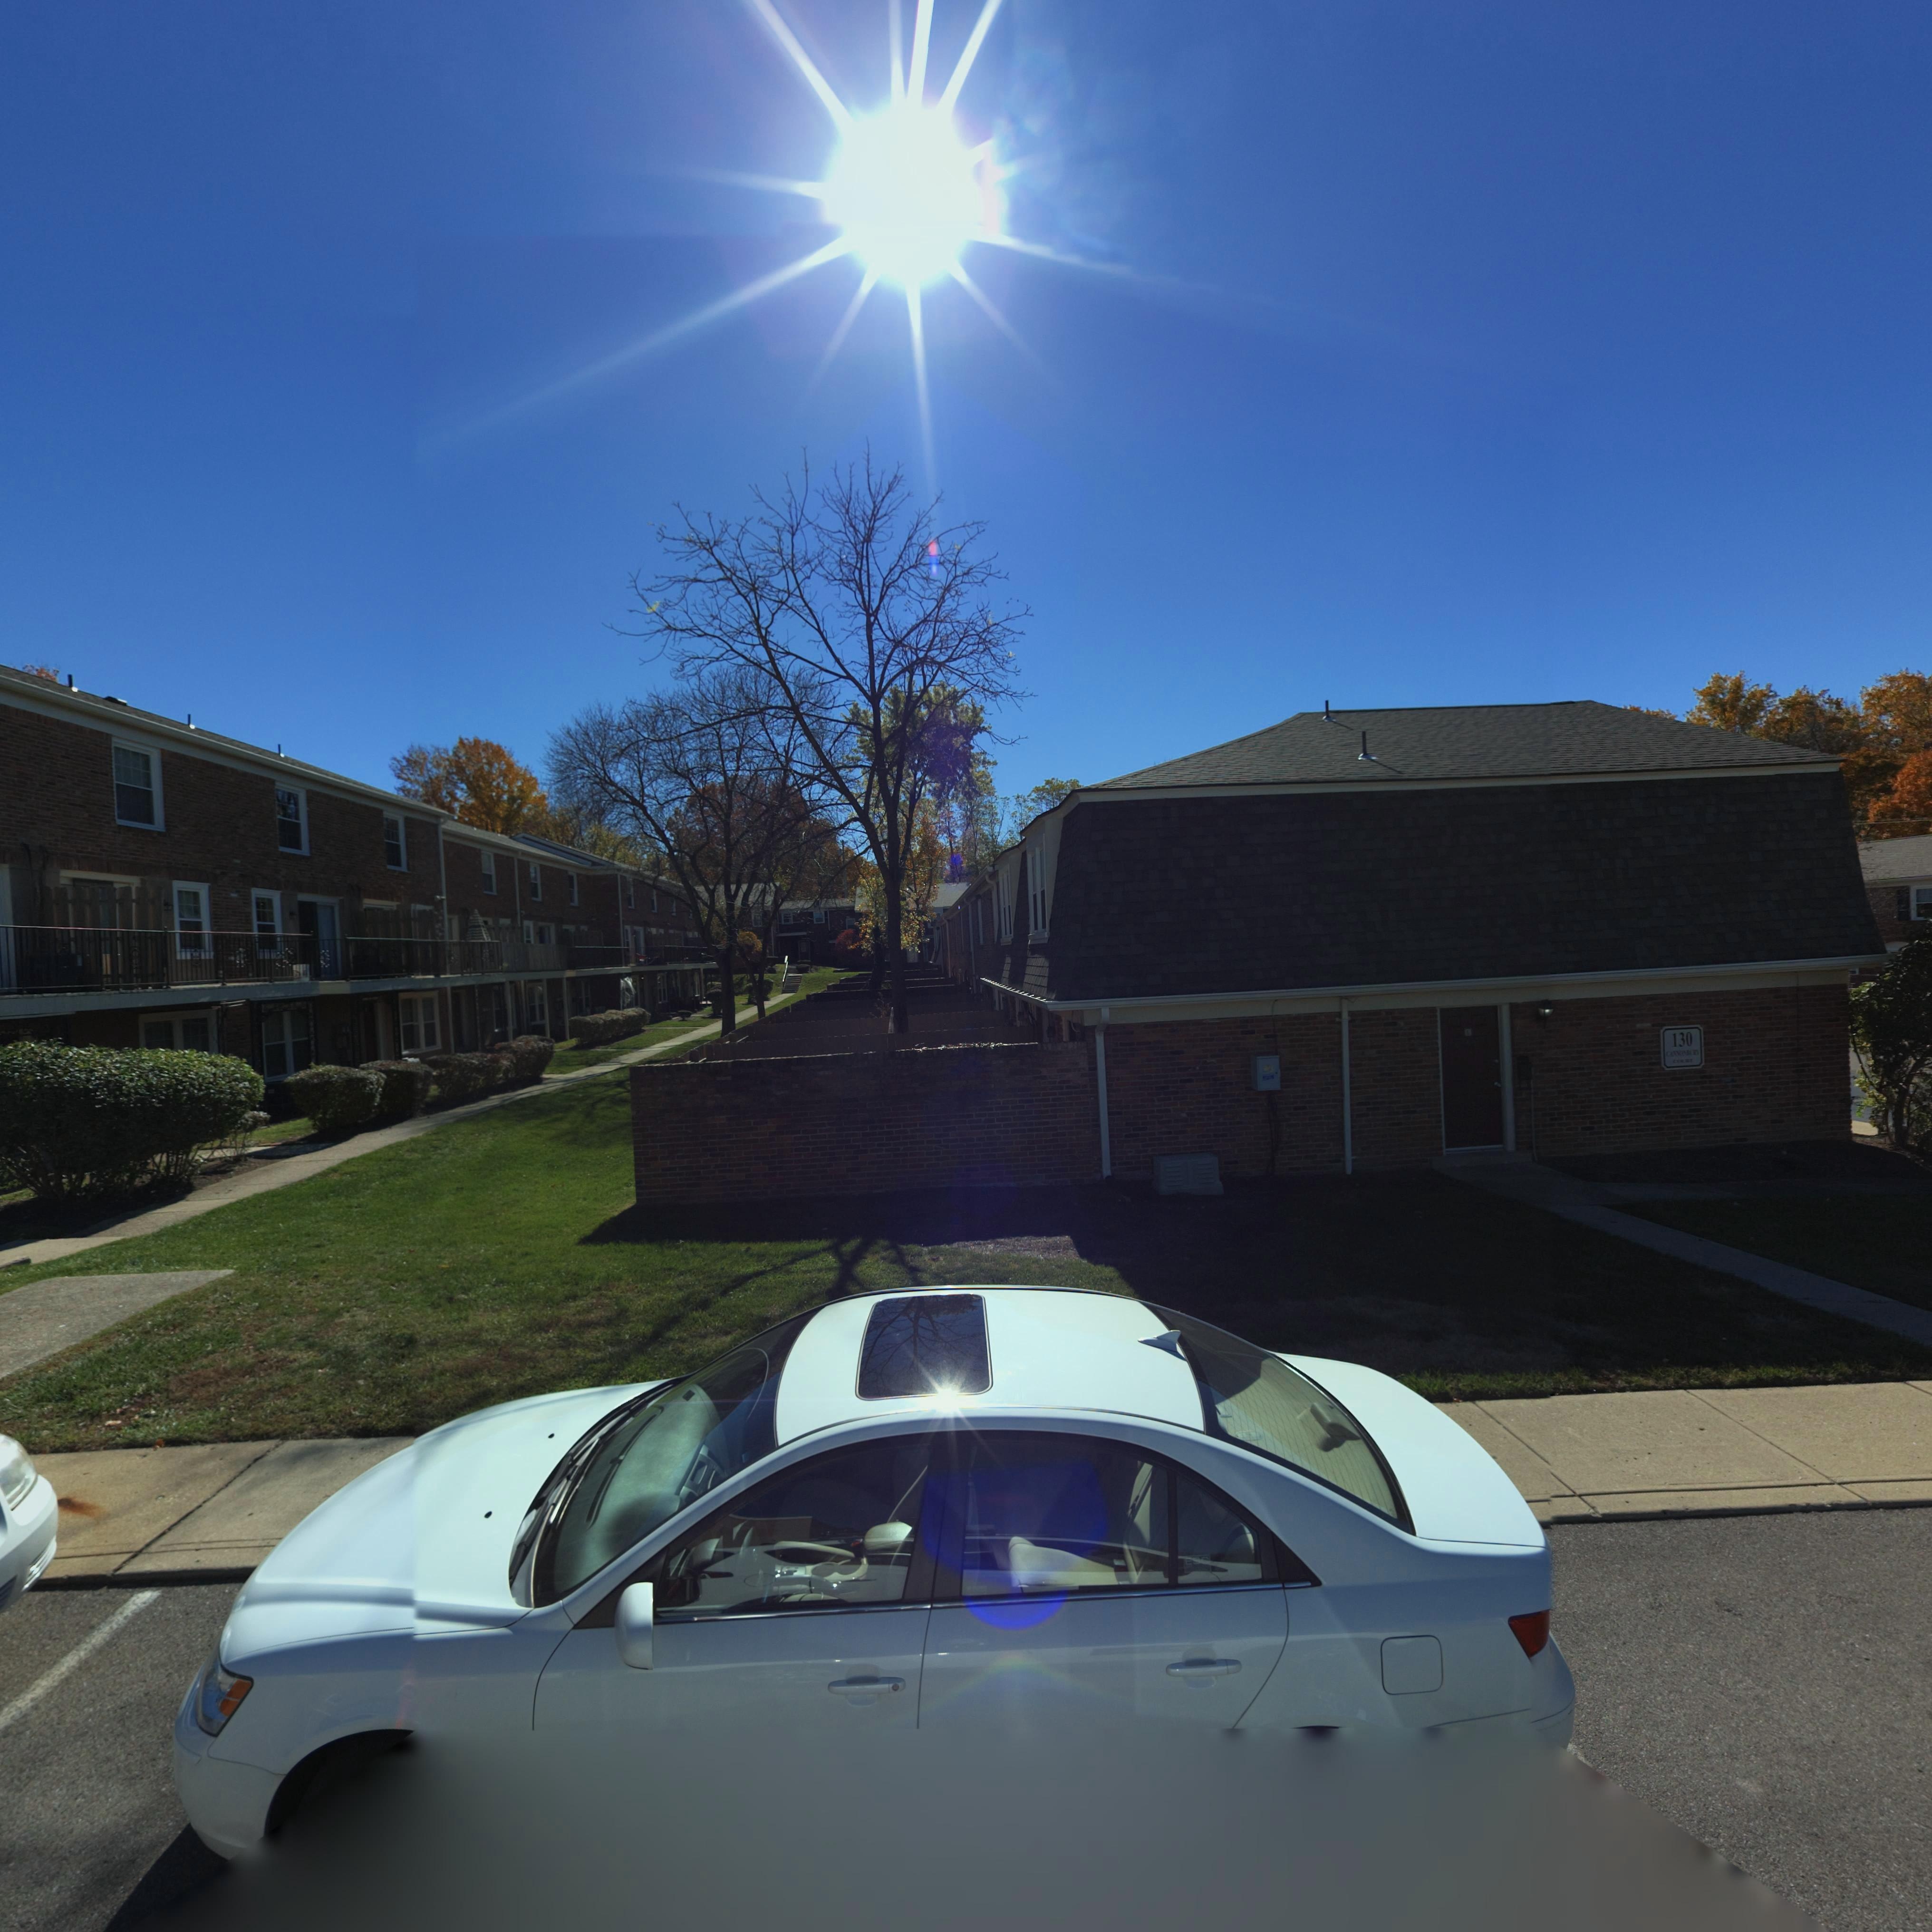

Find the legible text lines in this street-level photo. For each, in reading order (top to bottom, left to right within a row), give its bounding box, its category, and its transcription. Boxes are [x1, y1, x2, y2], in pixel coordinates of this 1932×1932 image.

[1671, 1031, 1693, 1048] StreetNumber: 130